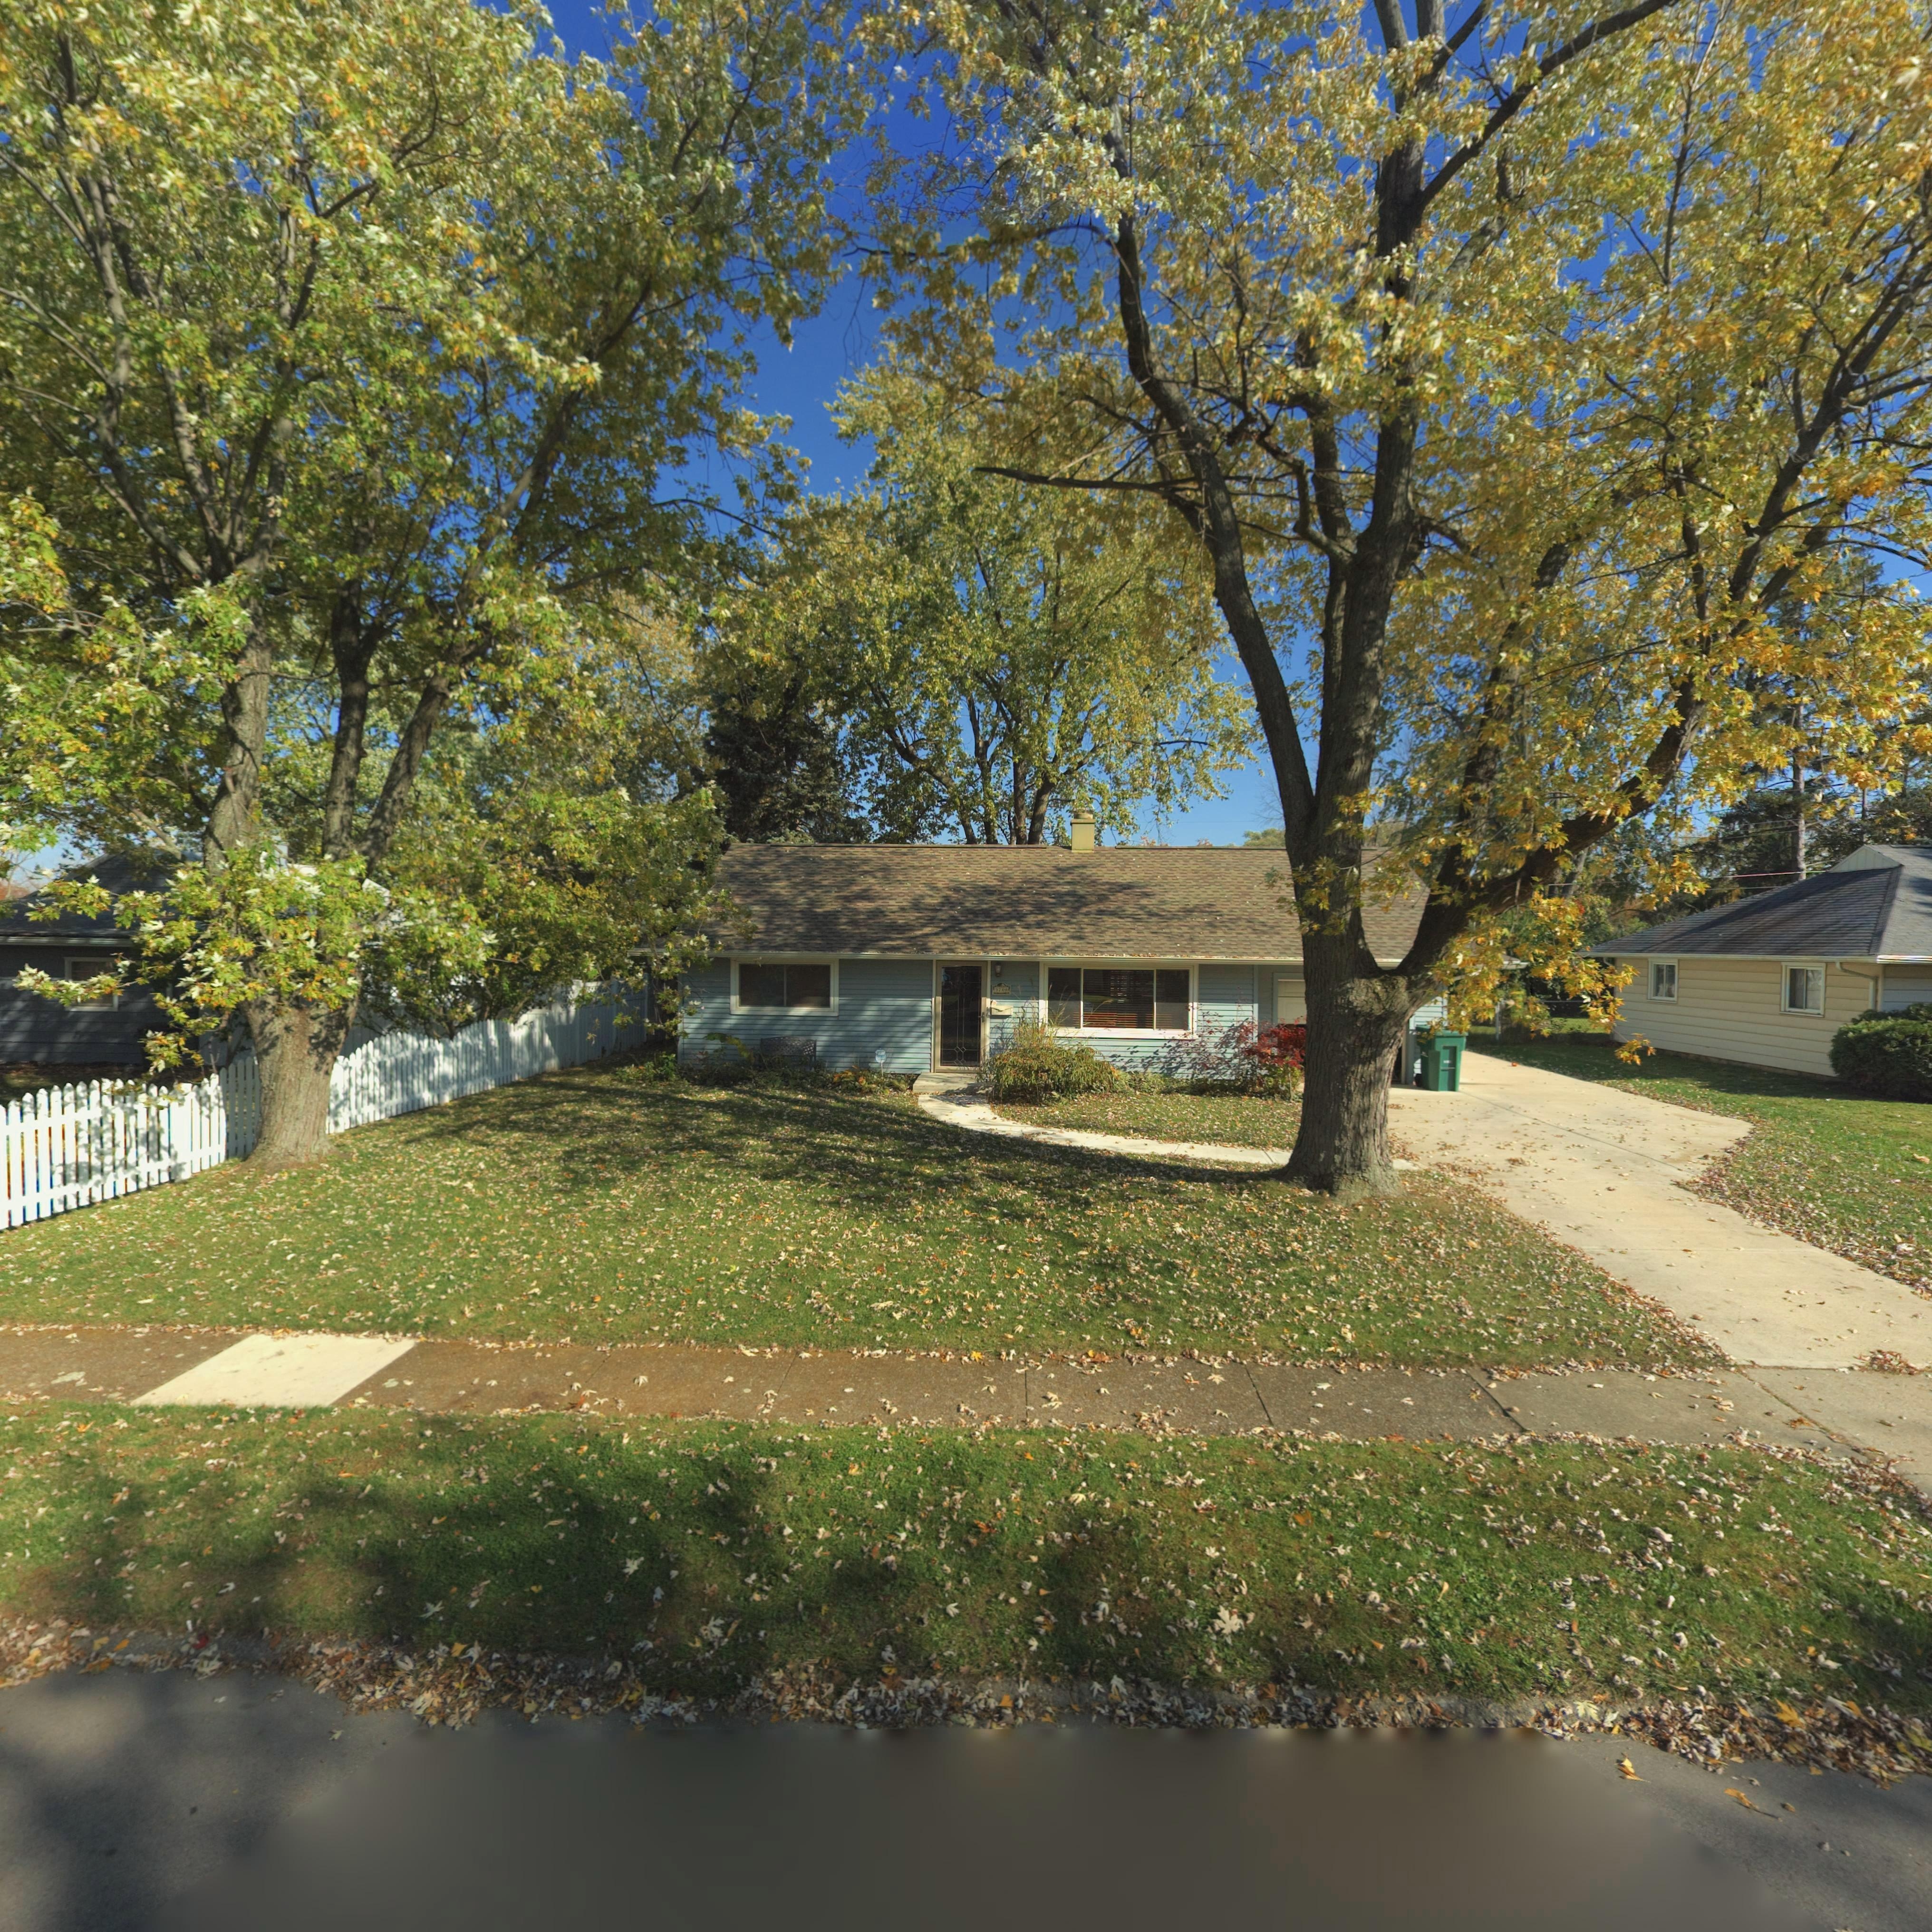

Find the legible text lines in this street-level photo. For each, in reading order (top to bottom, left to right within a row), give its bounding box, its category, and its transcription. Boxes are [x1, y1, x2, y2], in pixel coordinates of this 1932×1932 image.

[995, 988, 1007, 992] StreetNumber: 3708